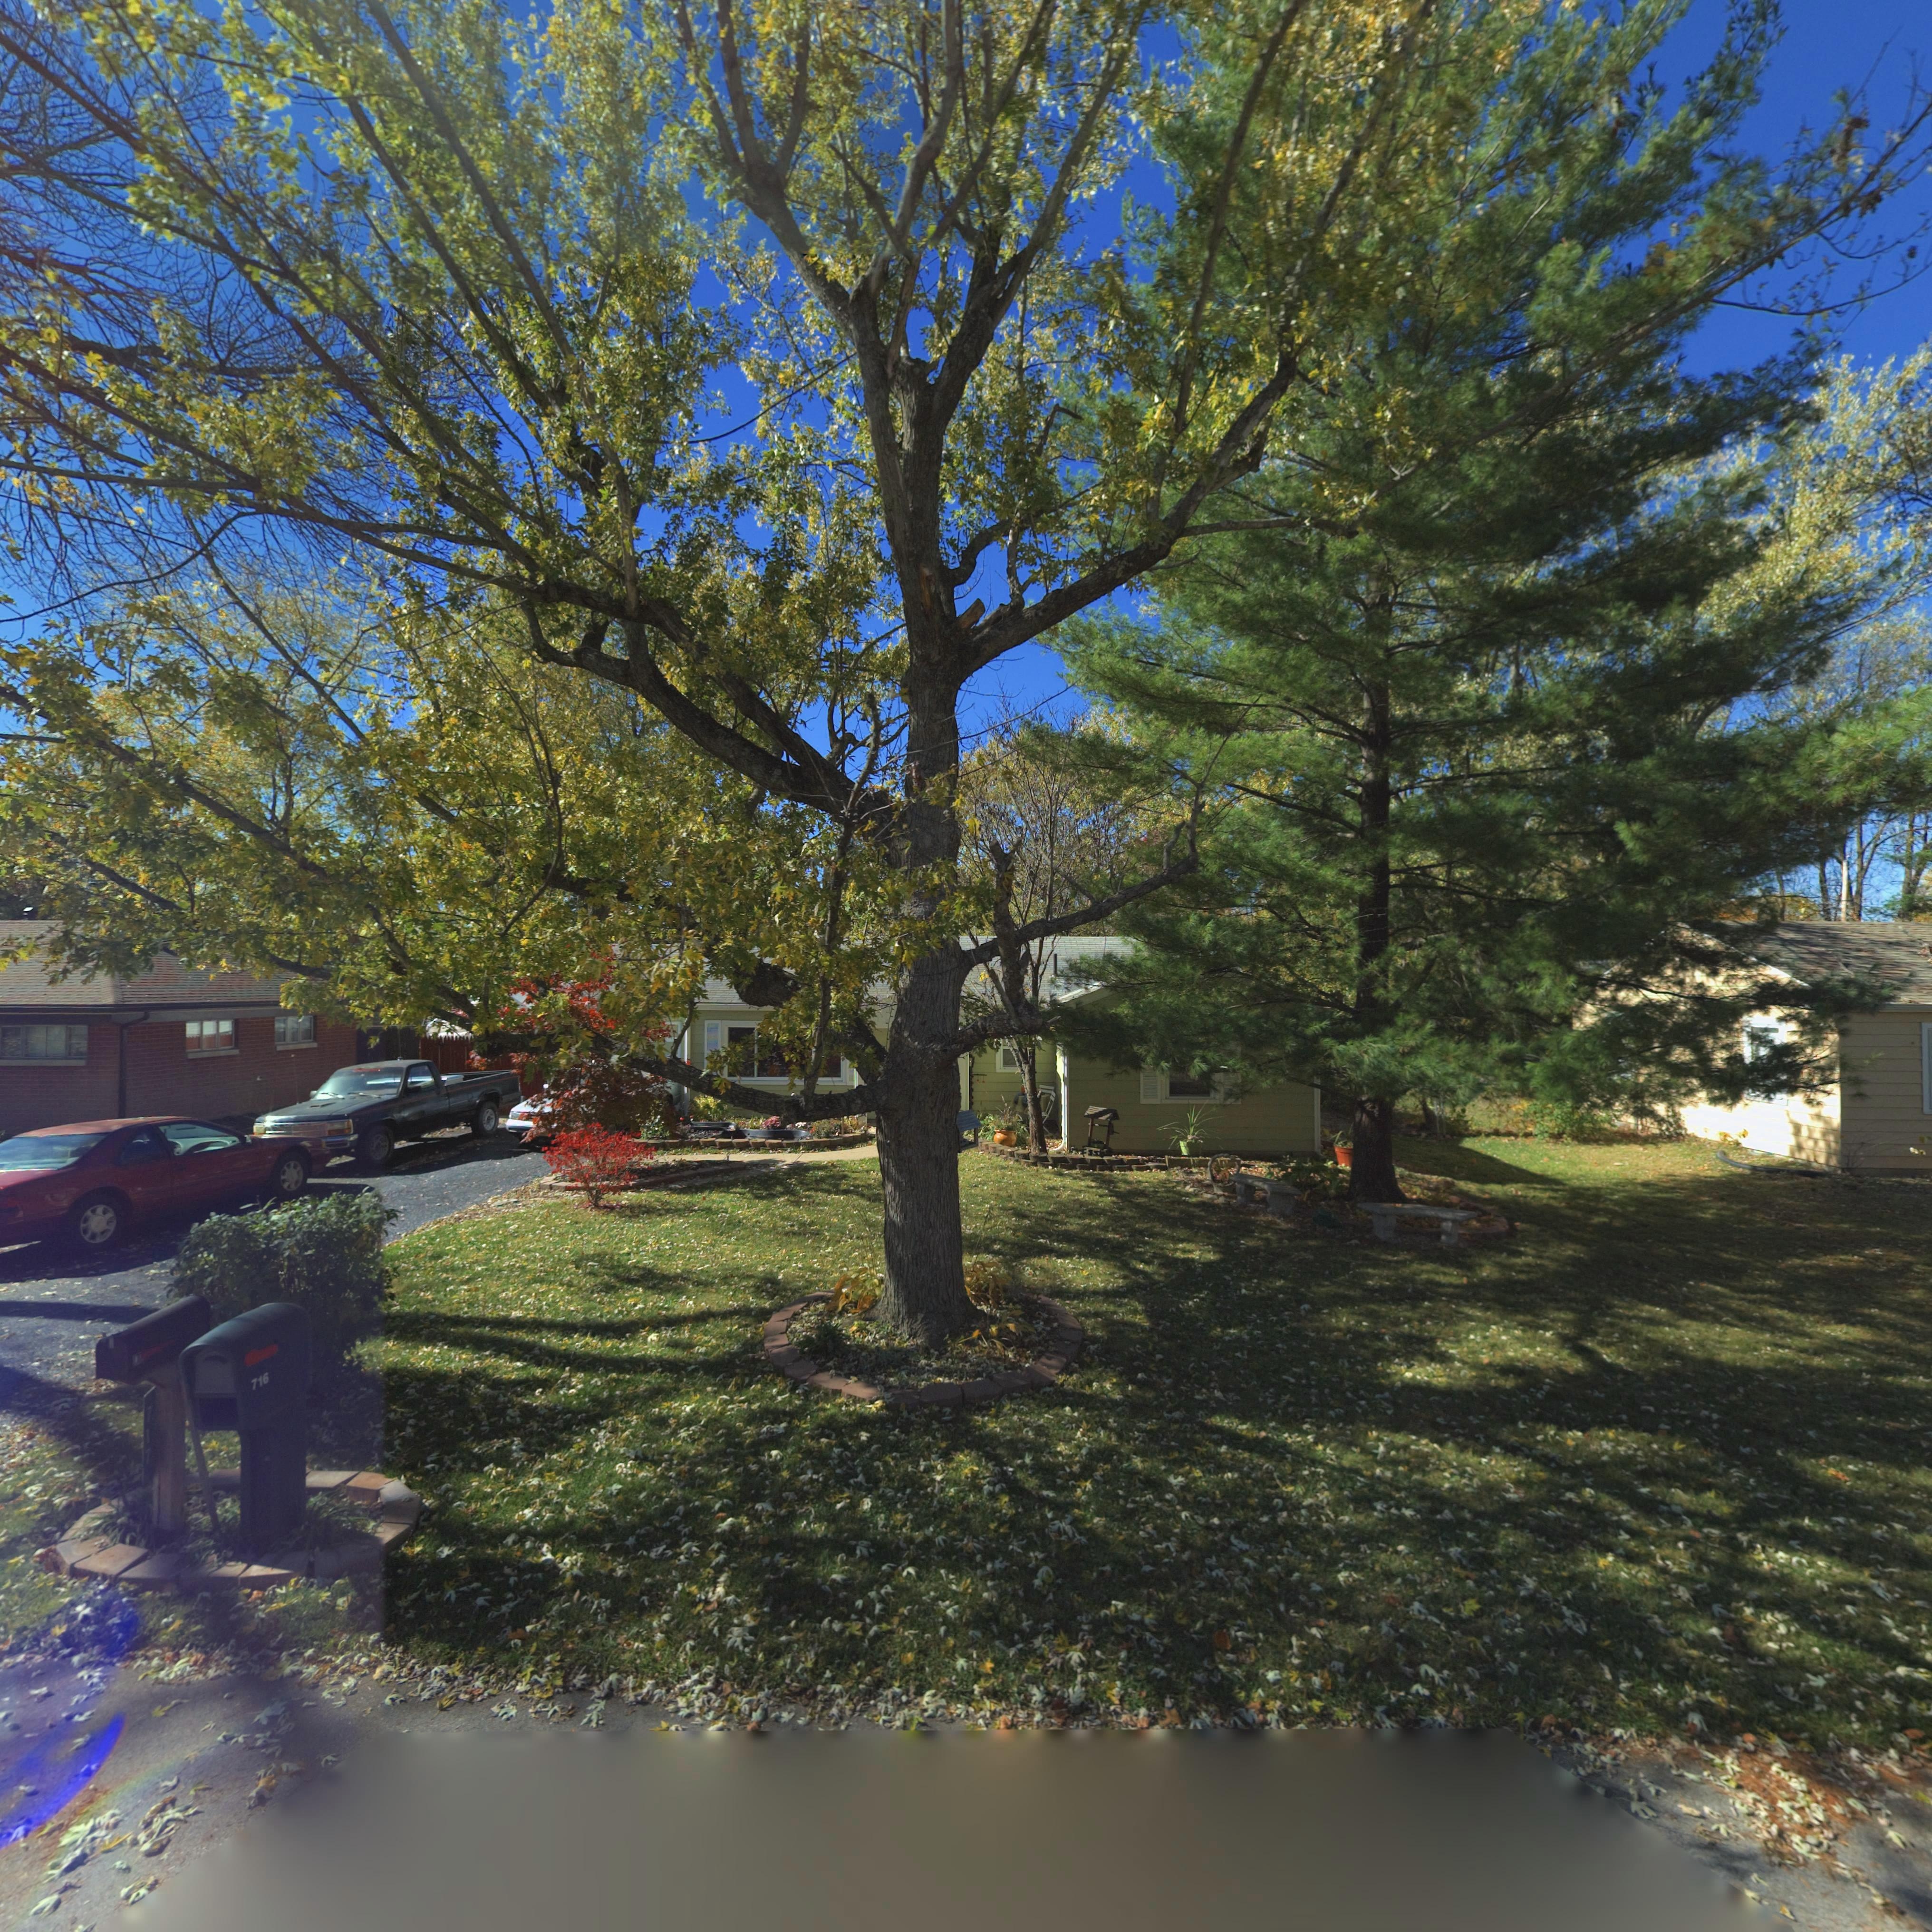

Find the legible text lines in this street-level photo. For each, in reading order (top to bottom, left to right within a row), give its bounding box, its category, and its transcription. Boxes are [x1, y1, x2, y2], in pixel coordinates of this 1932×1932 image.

[250, 1371, 270, 1392] StreetNumber: 716